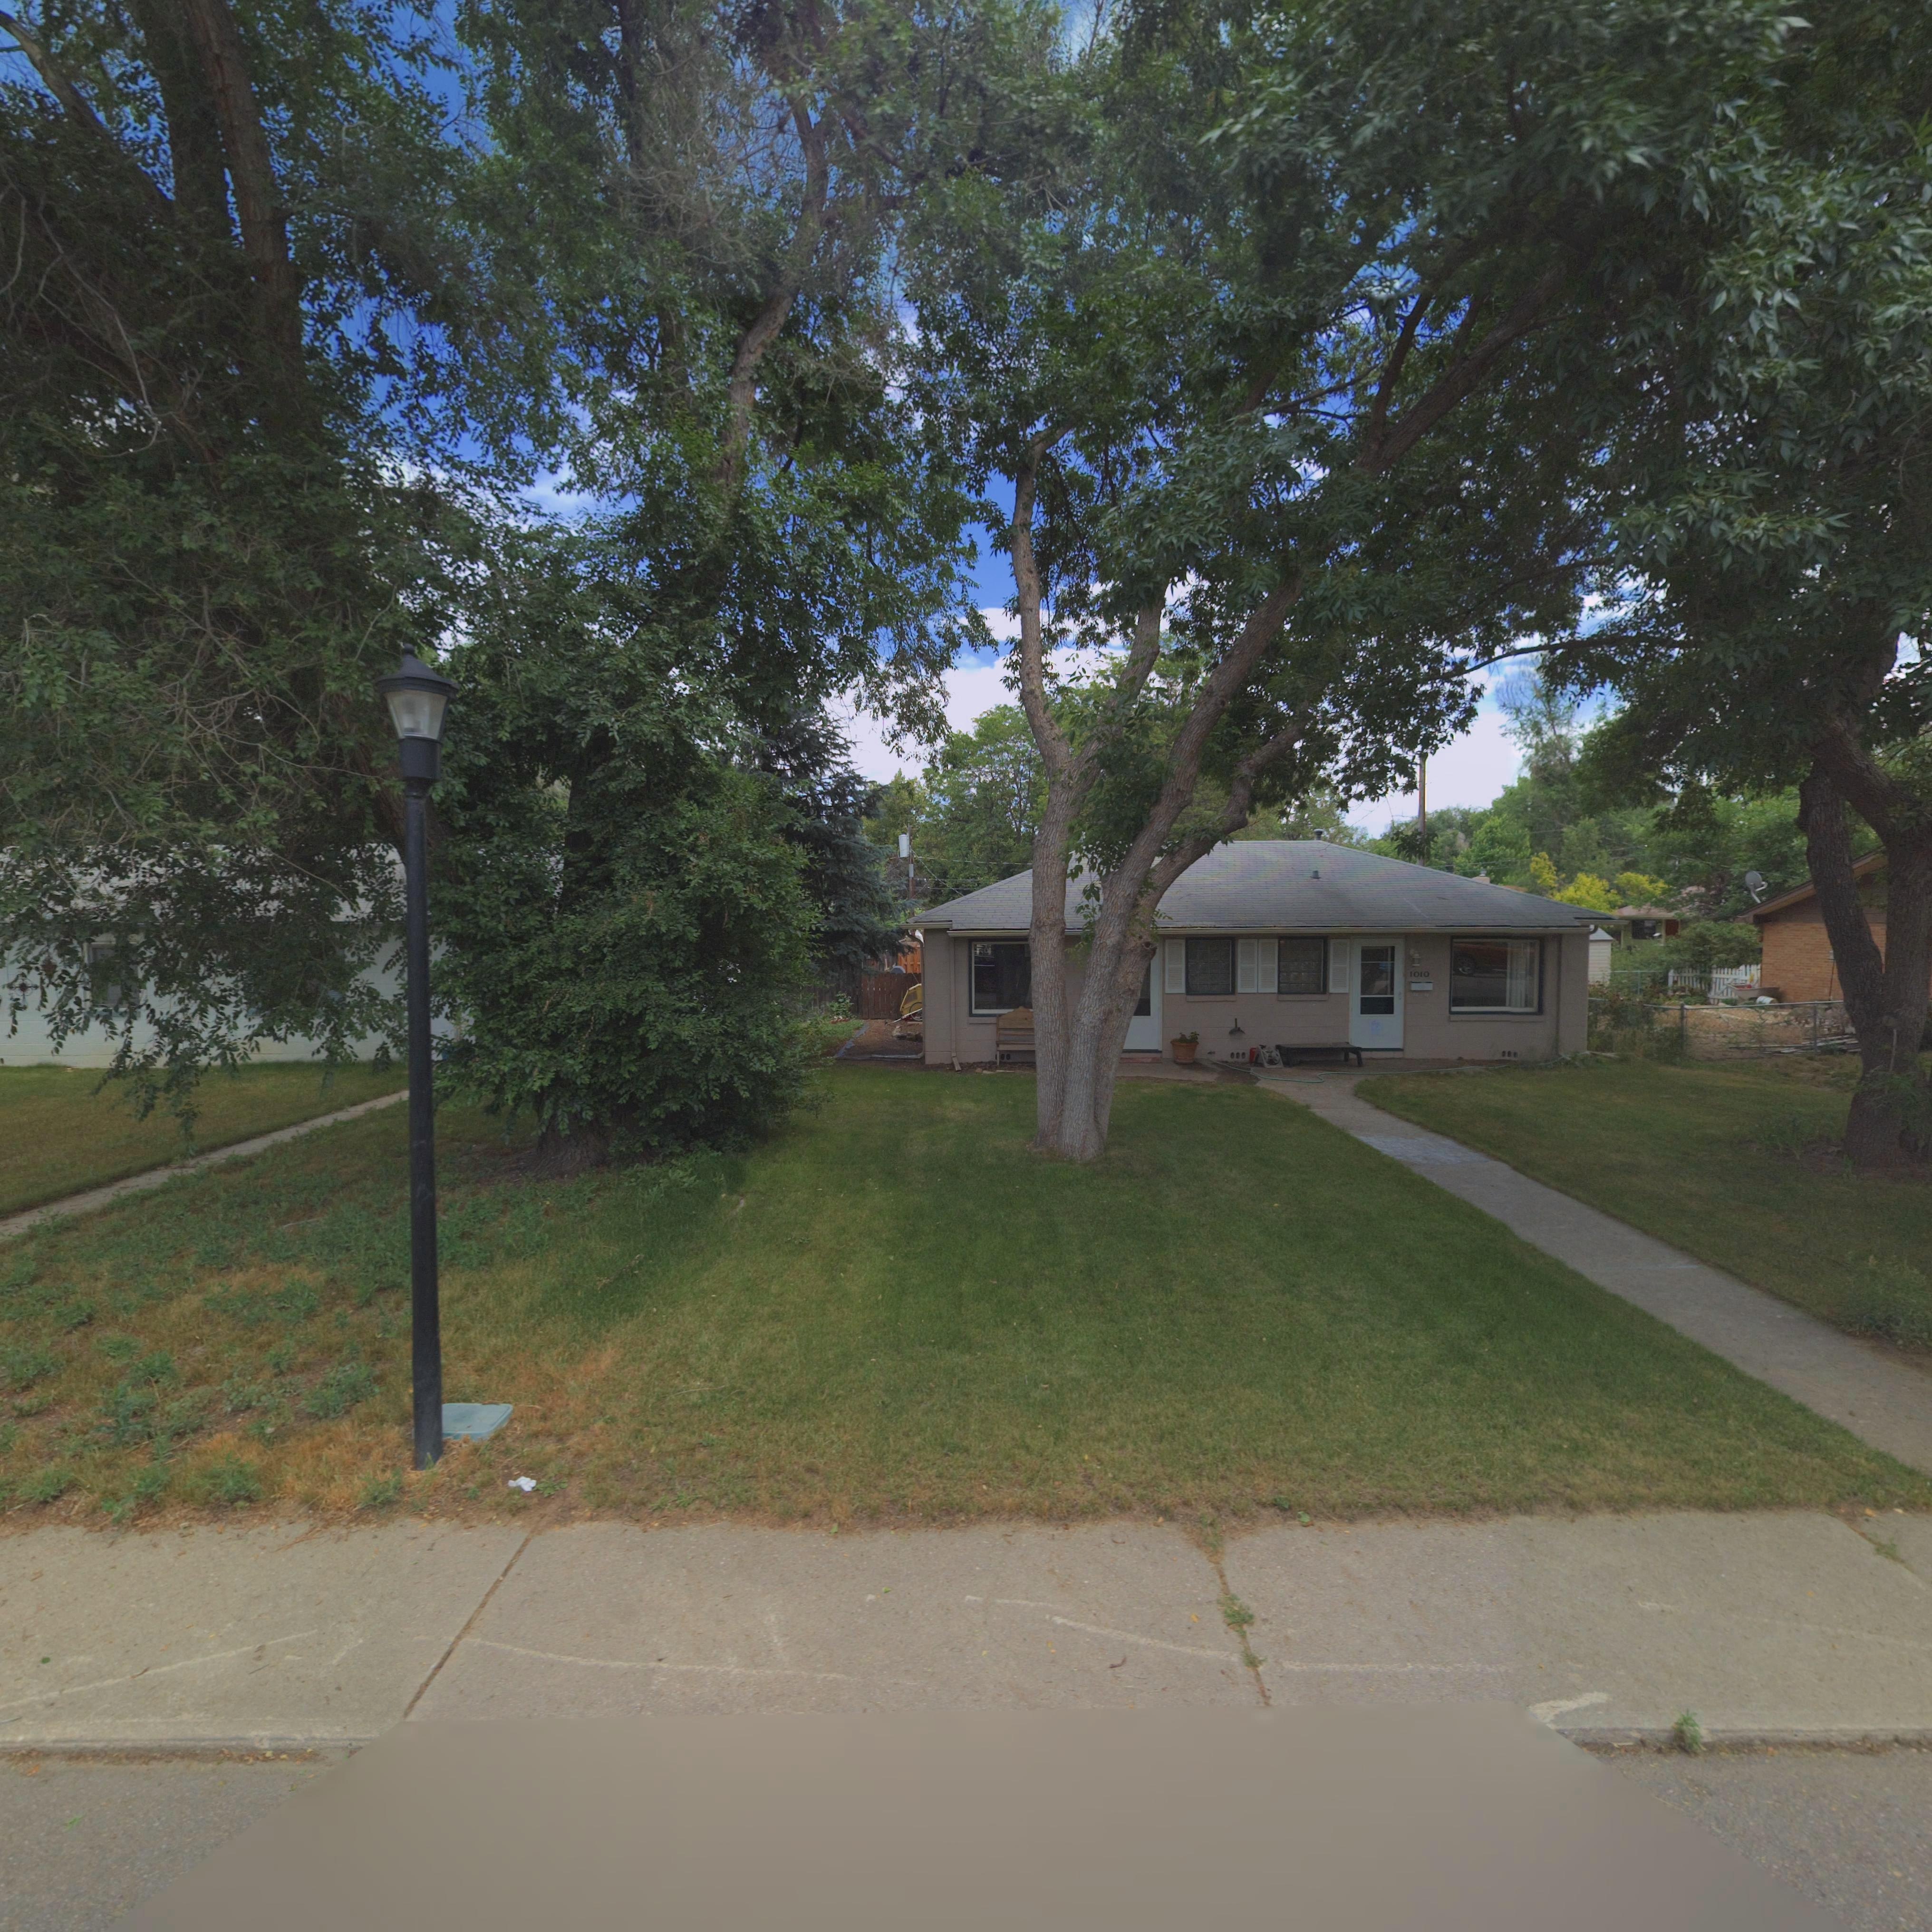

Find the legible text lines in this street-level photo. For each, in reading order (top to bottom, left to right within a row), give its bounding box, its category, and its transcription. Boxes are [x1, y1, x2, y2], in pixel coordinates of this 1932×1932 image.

[1410, 971, 1430, 977] StreetNumber: 1010